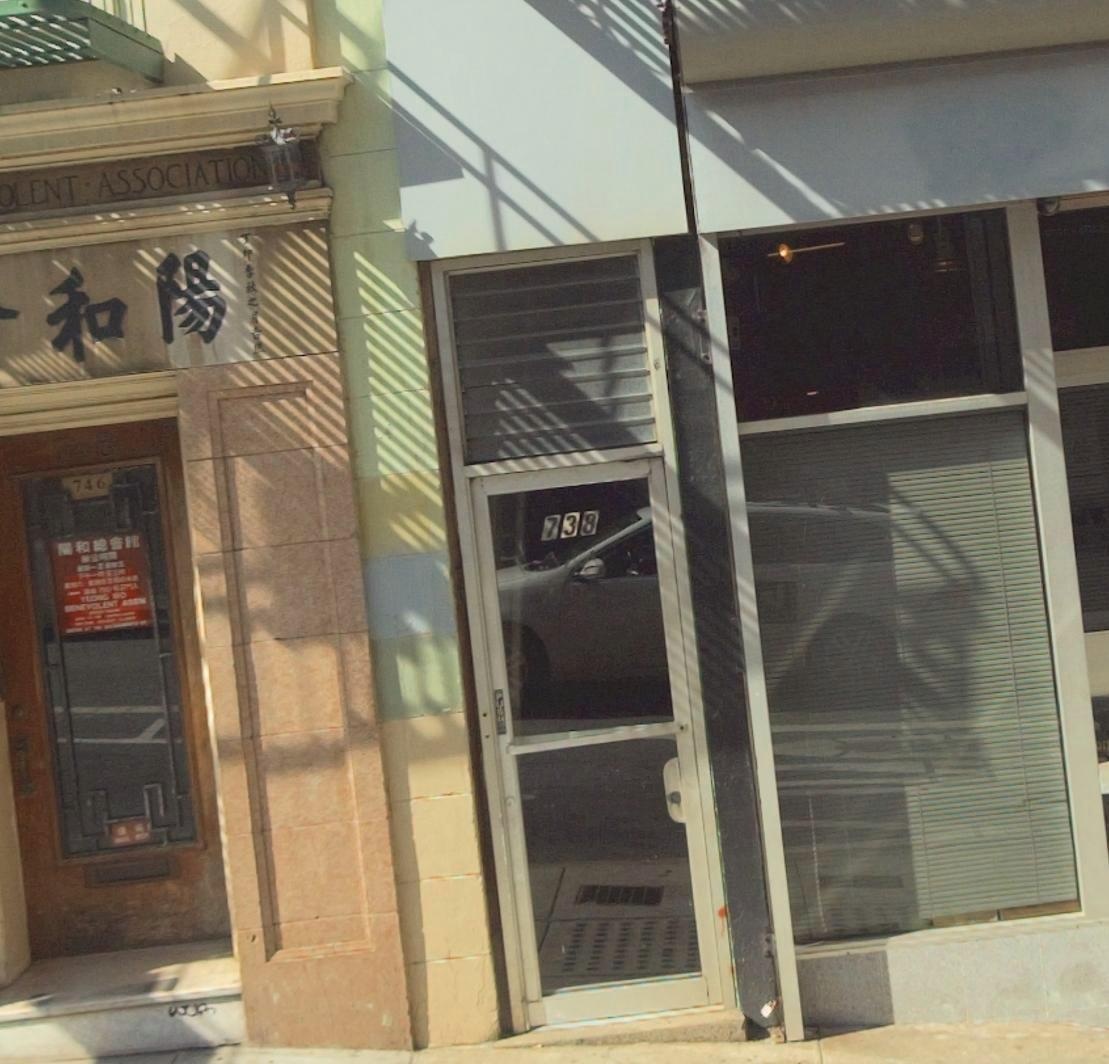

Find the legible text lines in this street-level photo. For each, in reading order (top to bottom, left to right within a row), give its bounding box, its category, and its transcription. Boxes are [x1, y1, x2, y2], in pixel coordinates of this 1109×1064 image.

[11, 150, 271, 210] BusinessName: LENT*ASSOCIATION
[70, 472, 107, 496] StreetNumber: 746
[541, 511, 600, 541] StreetNumber: 738